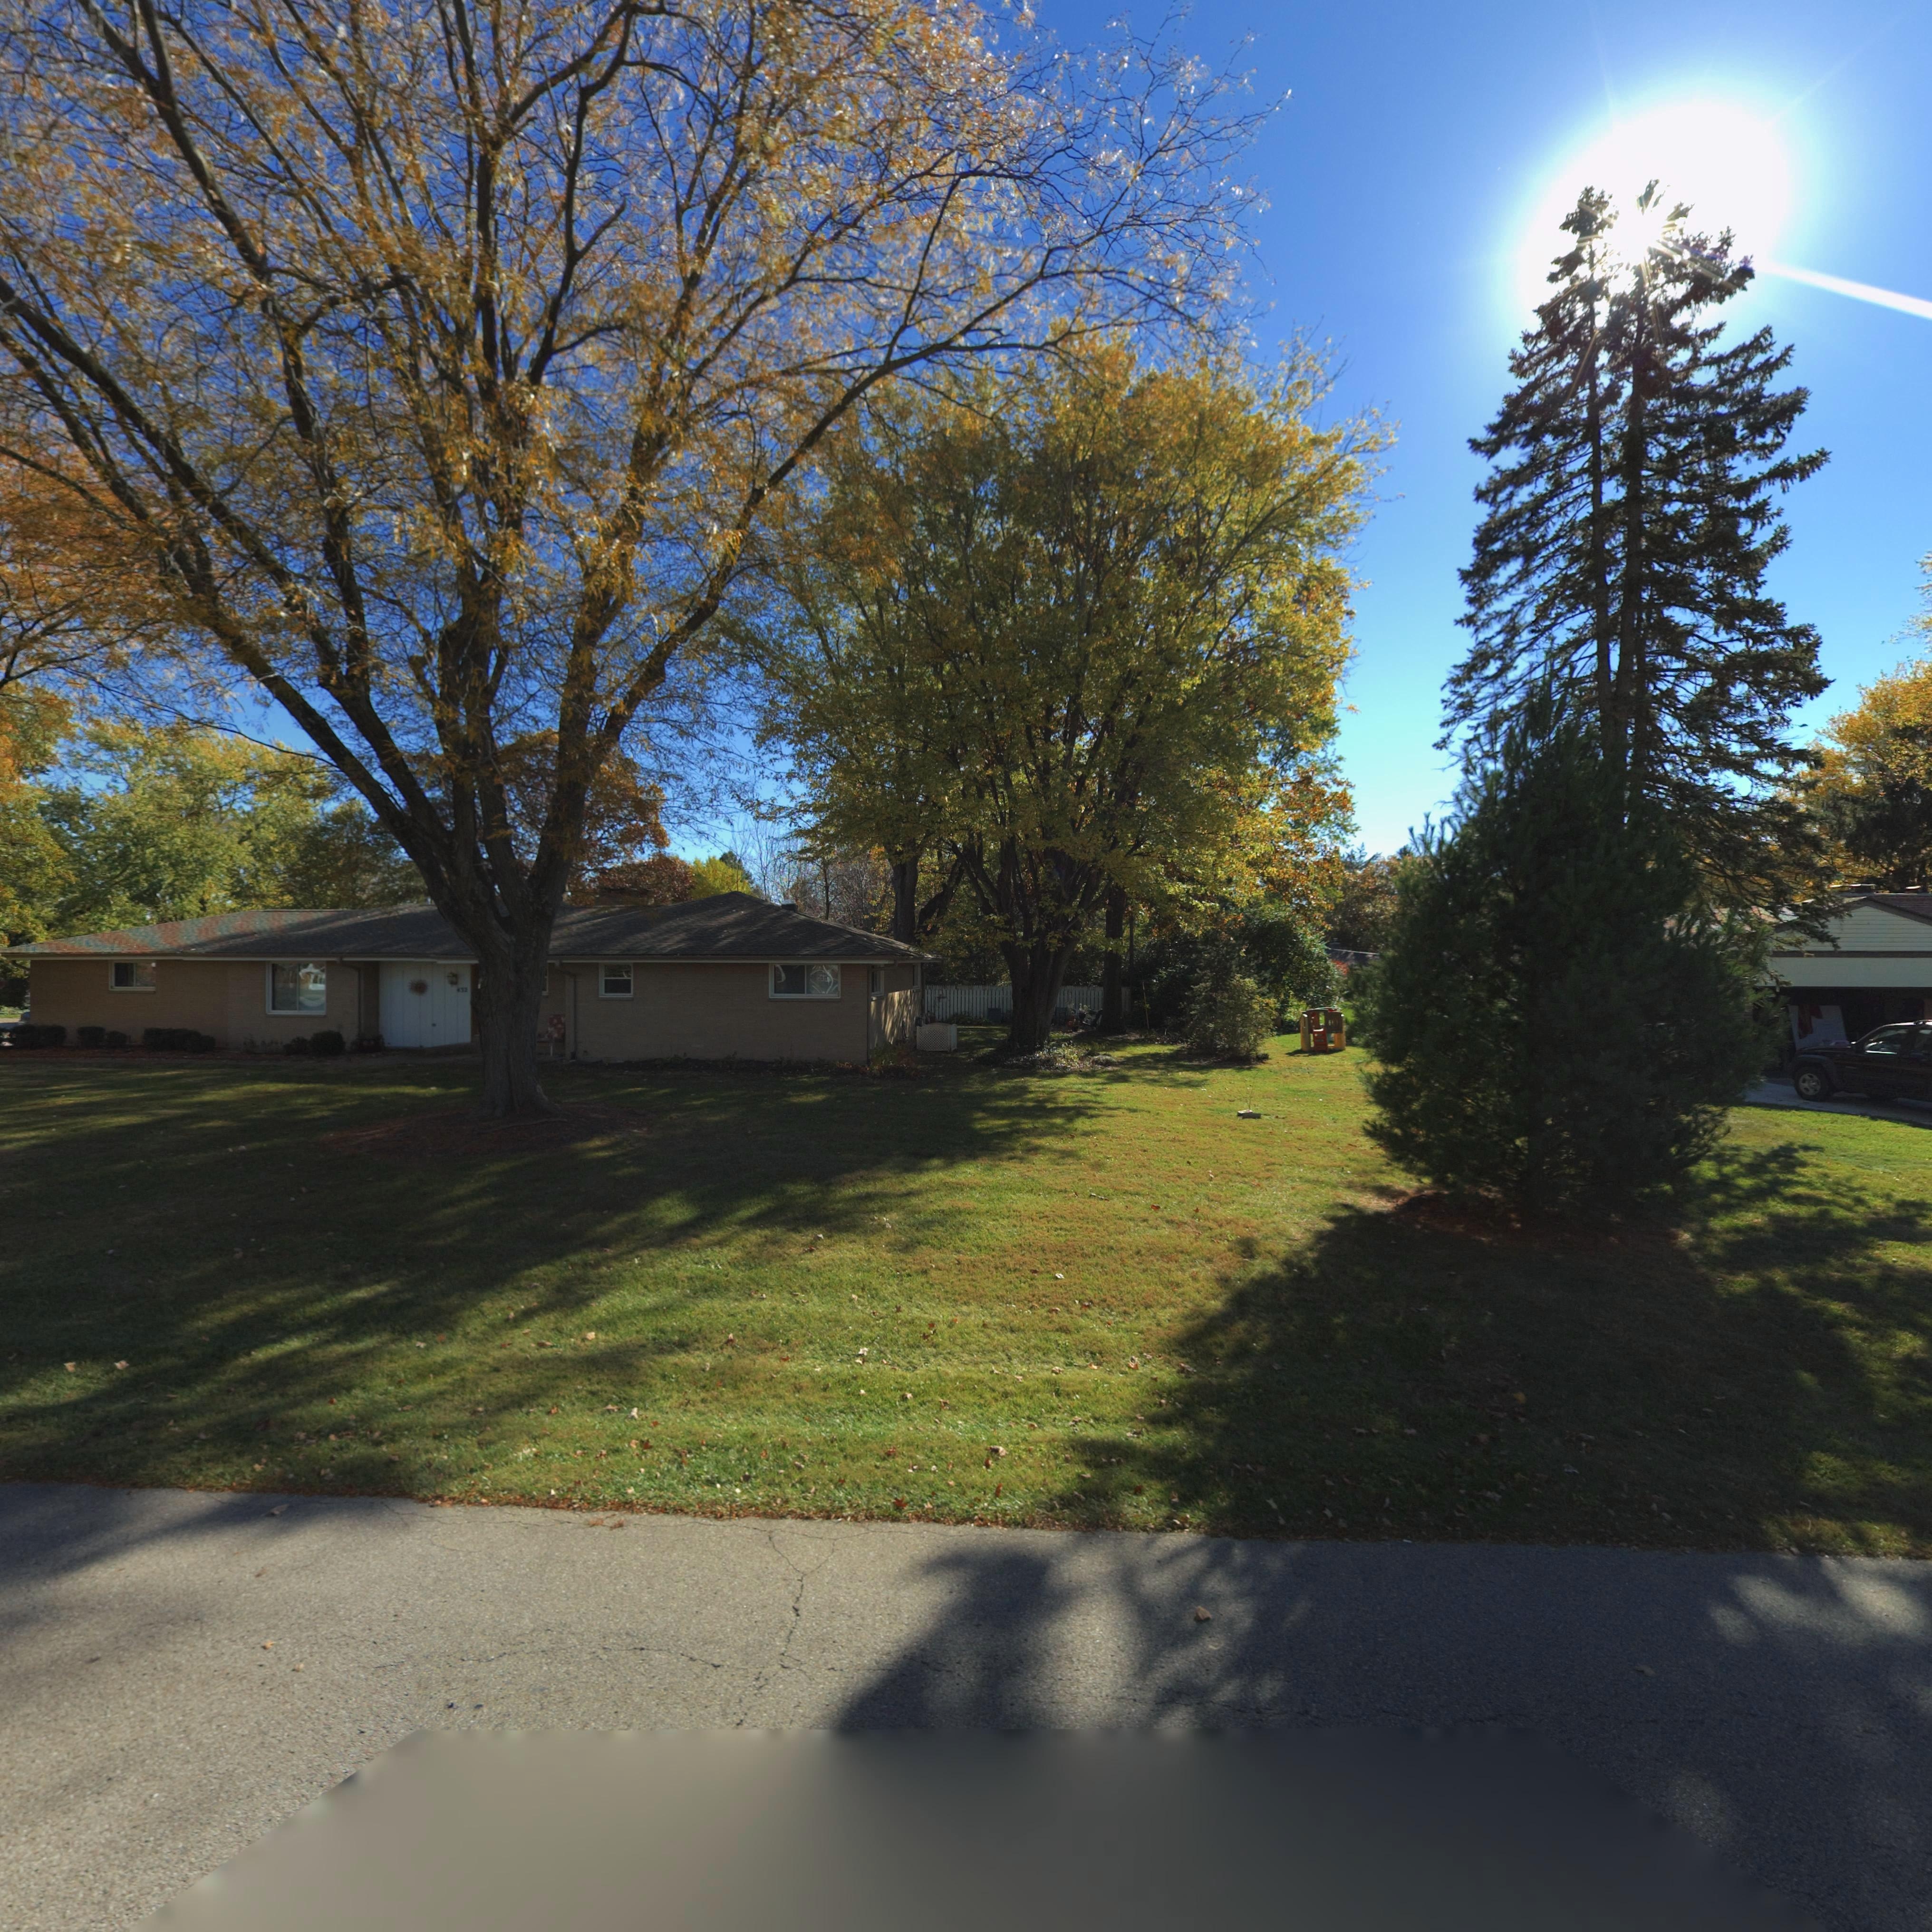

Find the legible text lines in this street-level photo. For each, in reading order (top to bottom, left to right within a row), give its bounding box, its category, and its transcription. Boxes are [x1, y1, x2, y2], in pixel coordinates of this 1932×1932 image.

[455, 986, 468, 993] StreetNumber: *32